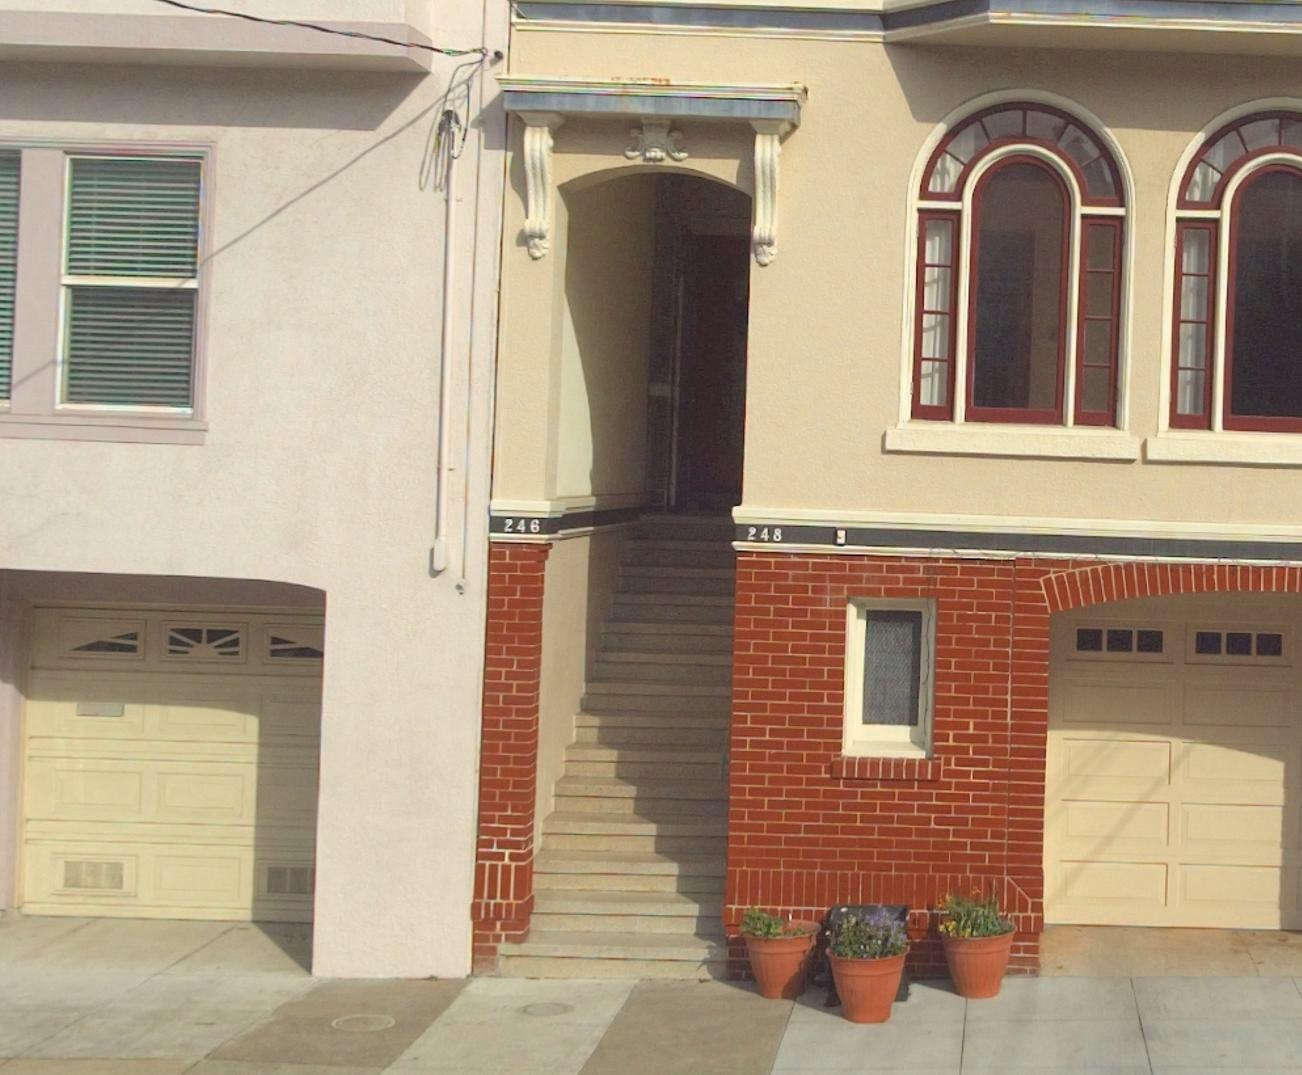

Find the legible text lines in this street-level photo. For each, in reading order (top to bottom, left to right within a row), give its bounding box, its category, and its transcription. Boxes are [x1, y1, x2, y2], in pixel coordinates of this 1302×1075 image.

[502, 518, 541, 534] StreetNumber: 246
[746, 525, 784, 543] StreetNumber: 248